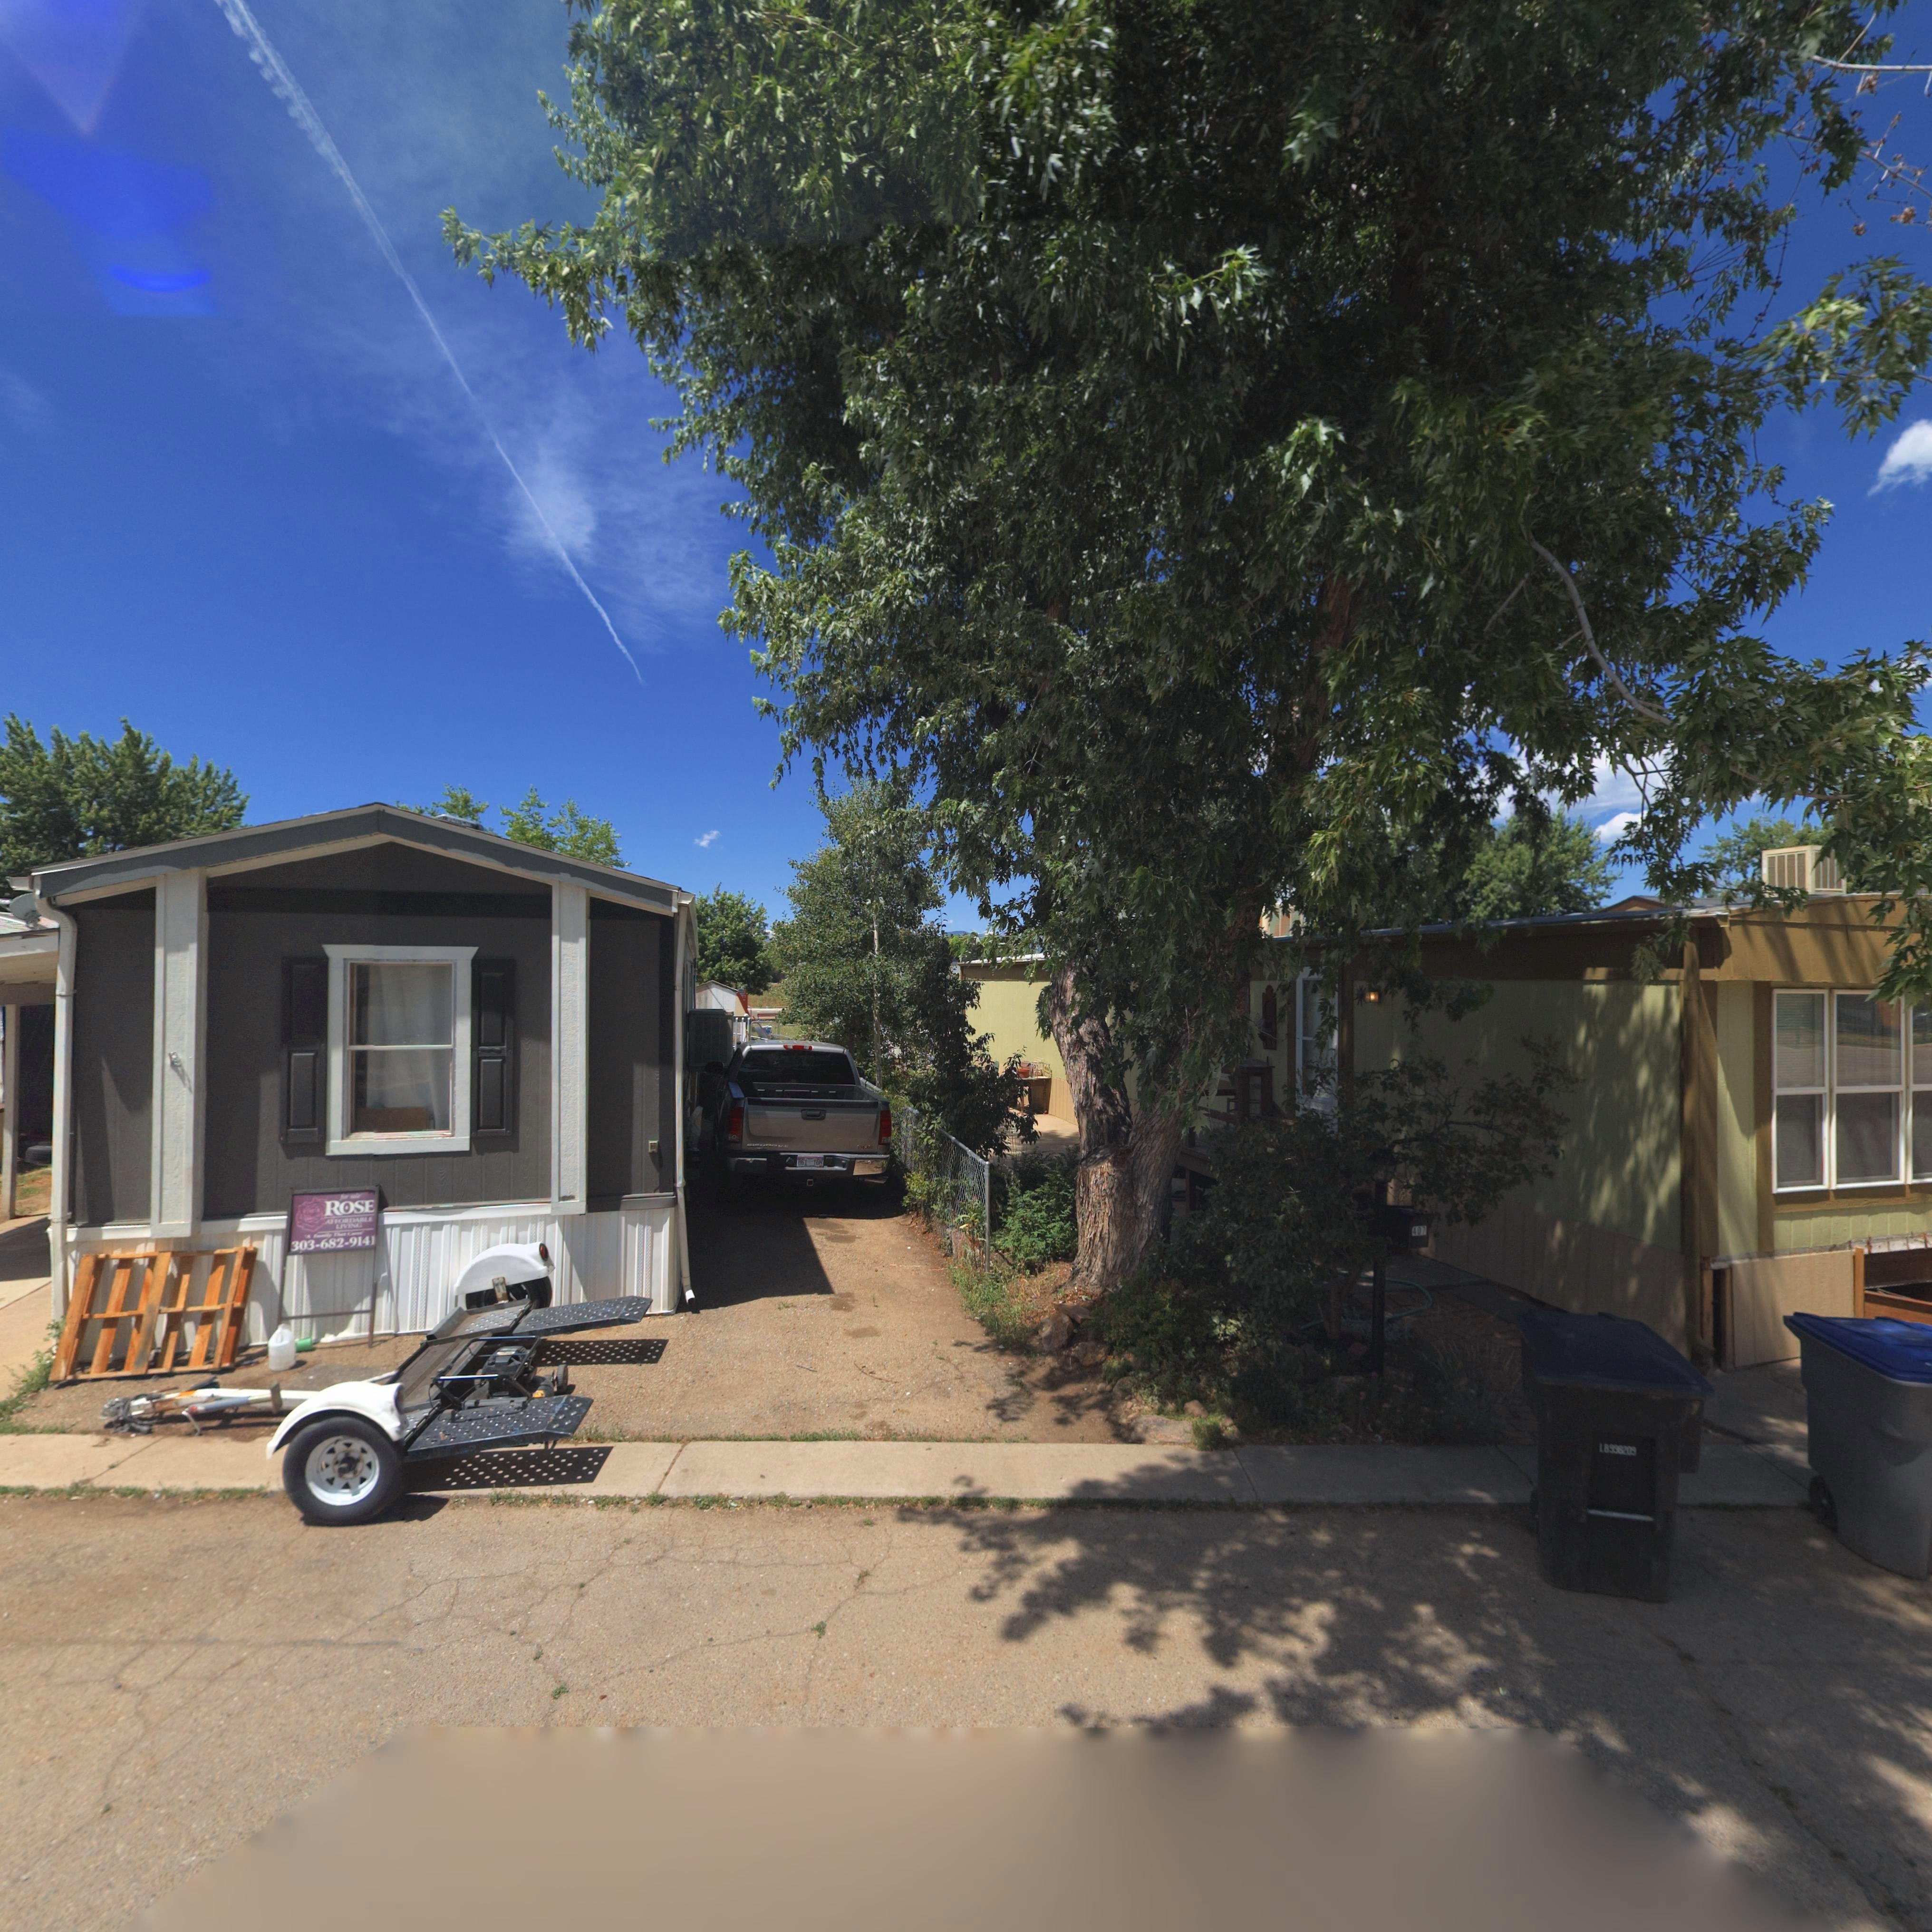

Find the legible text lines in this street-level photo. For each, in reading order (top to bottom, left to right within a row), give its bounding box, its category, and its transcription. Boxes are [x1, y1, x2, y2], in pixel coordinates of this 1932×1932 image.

[1412, 1226, 1425, 1235] StreetNumber: 407